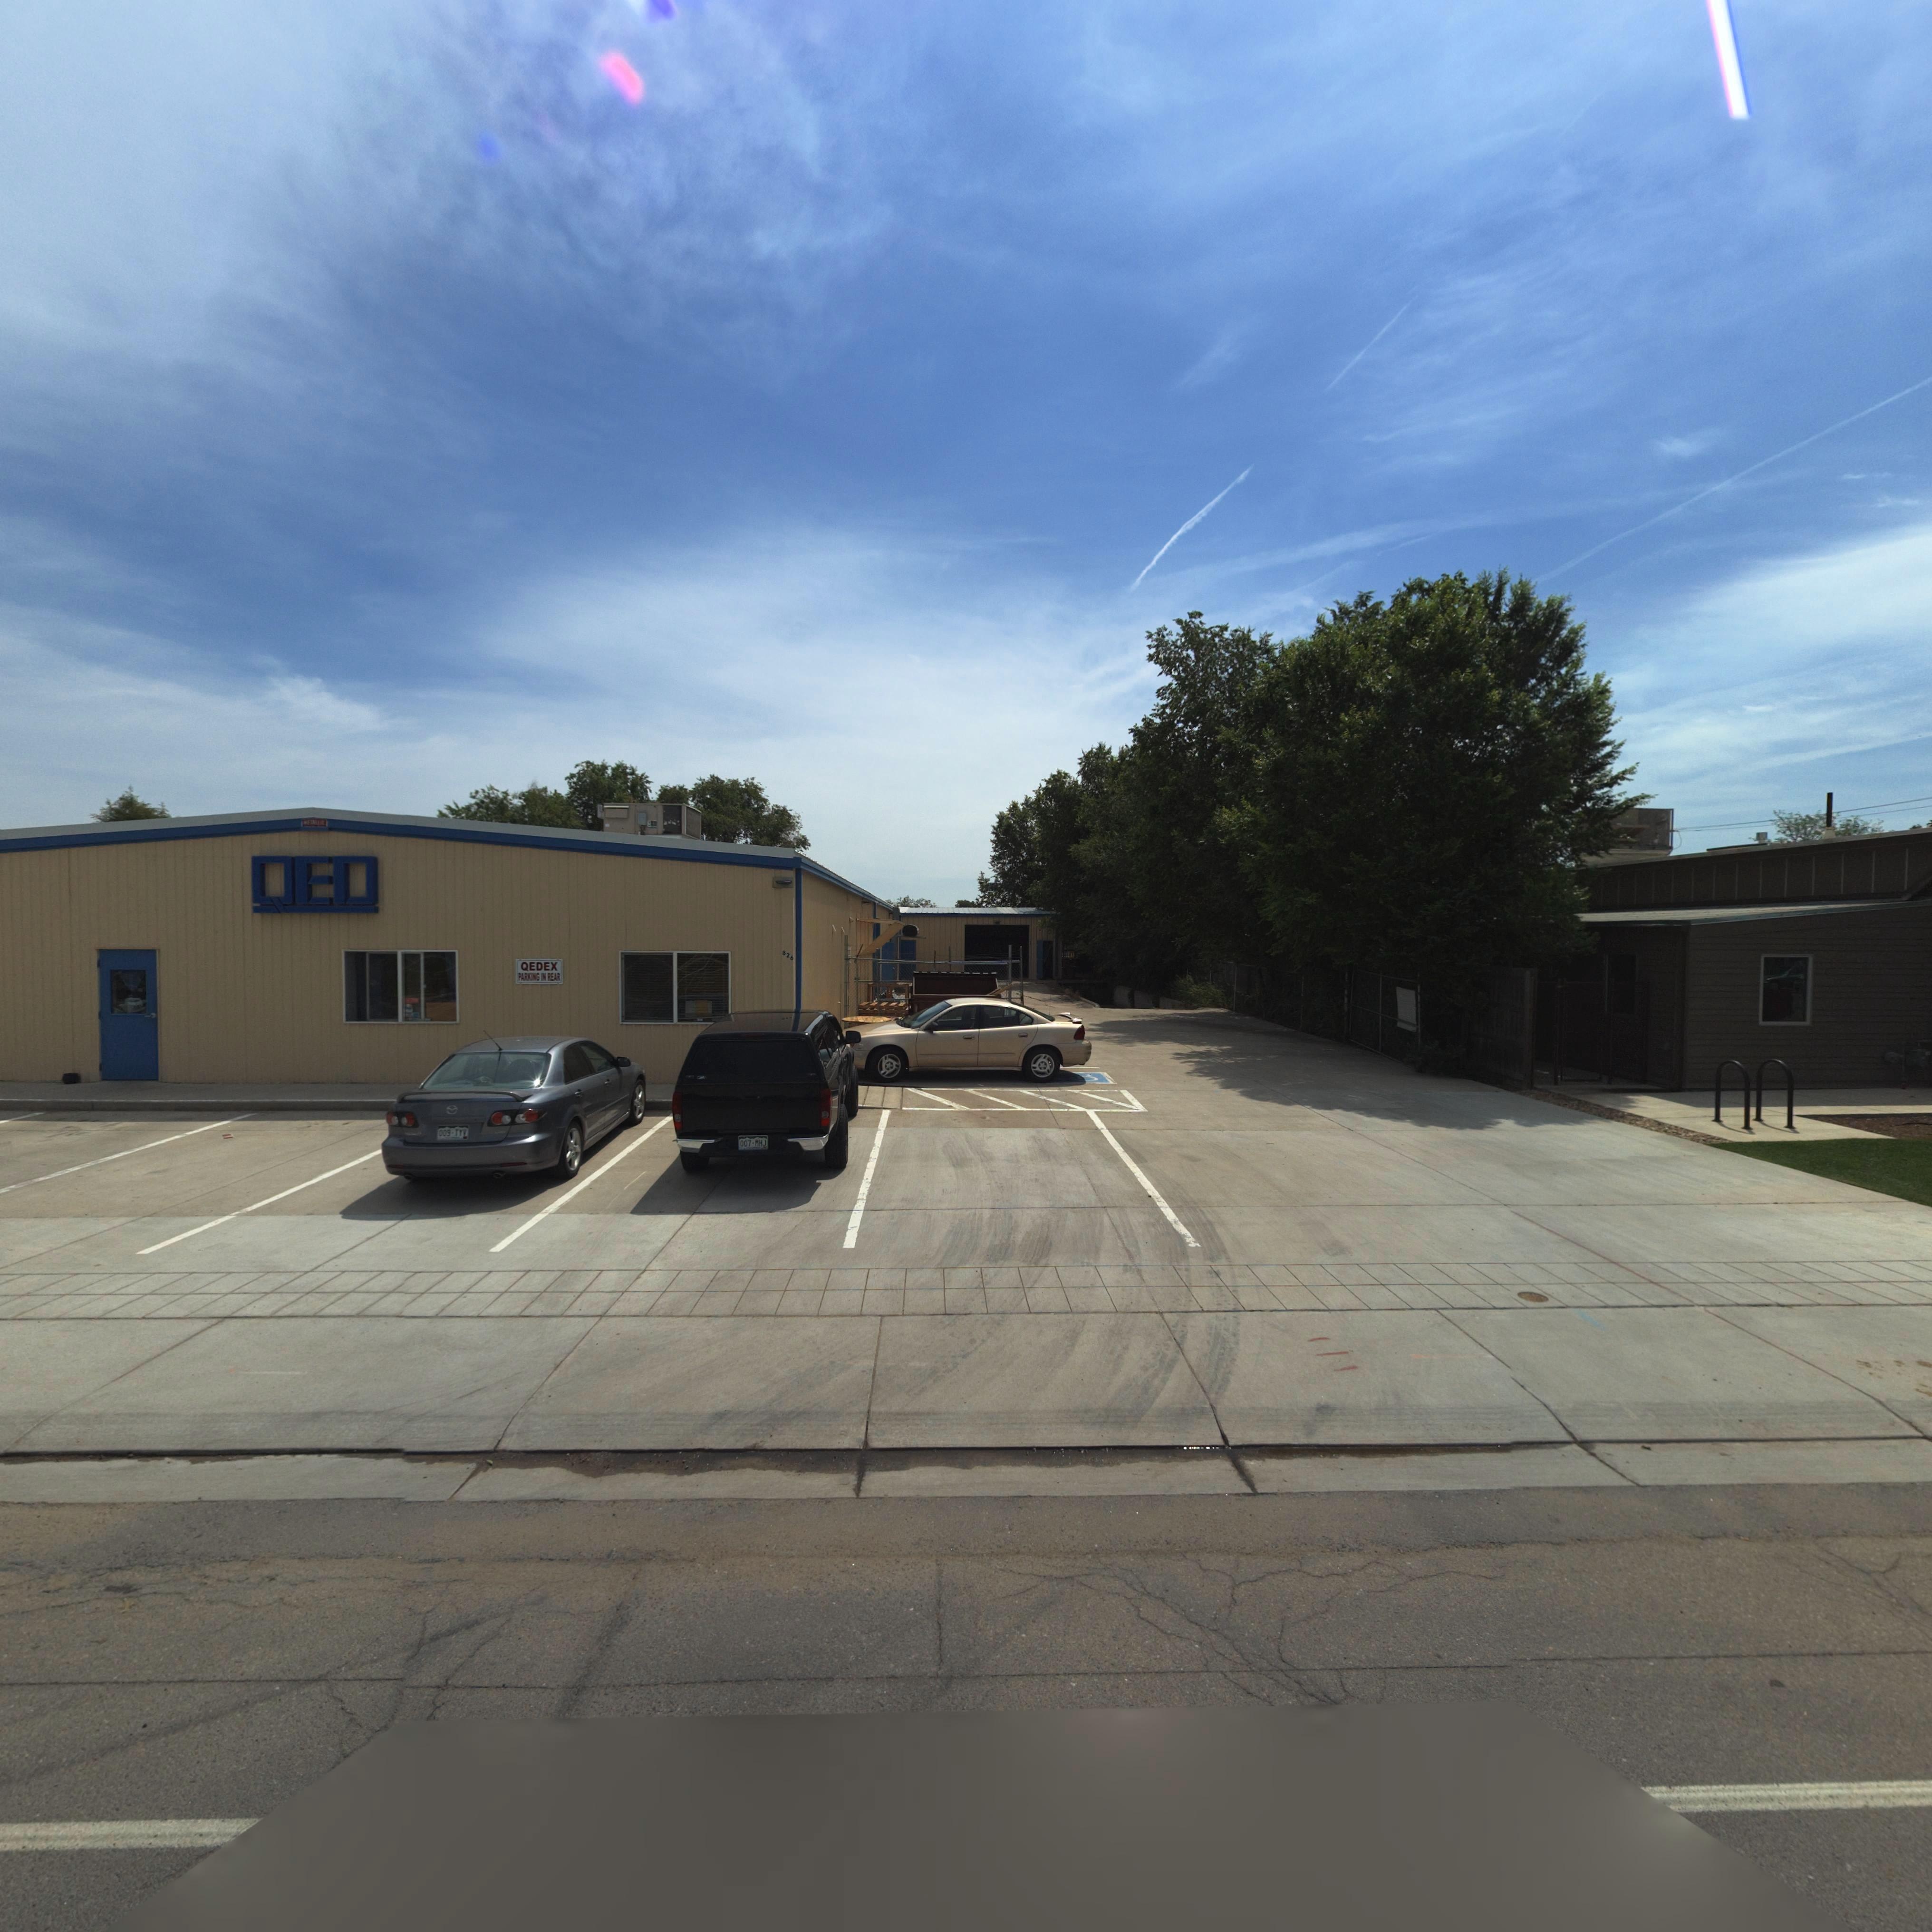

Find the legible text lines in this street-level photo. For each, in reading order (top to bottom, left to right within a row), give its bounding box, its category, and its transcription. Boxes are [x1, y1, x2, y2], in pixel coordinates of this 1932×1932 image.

[250, 855, 378, 914] BusinessName: QED
[782, 950, 793, 960] StreetNumber: 826
[521, 962, 558, 971] BusinessName: QEDEX